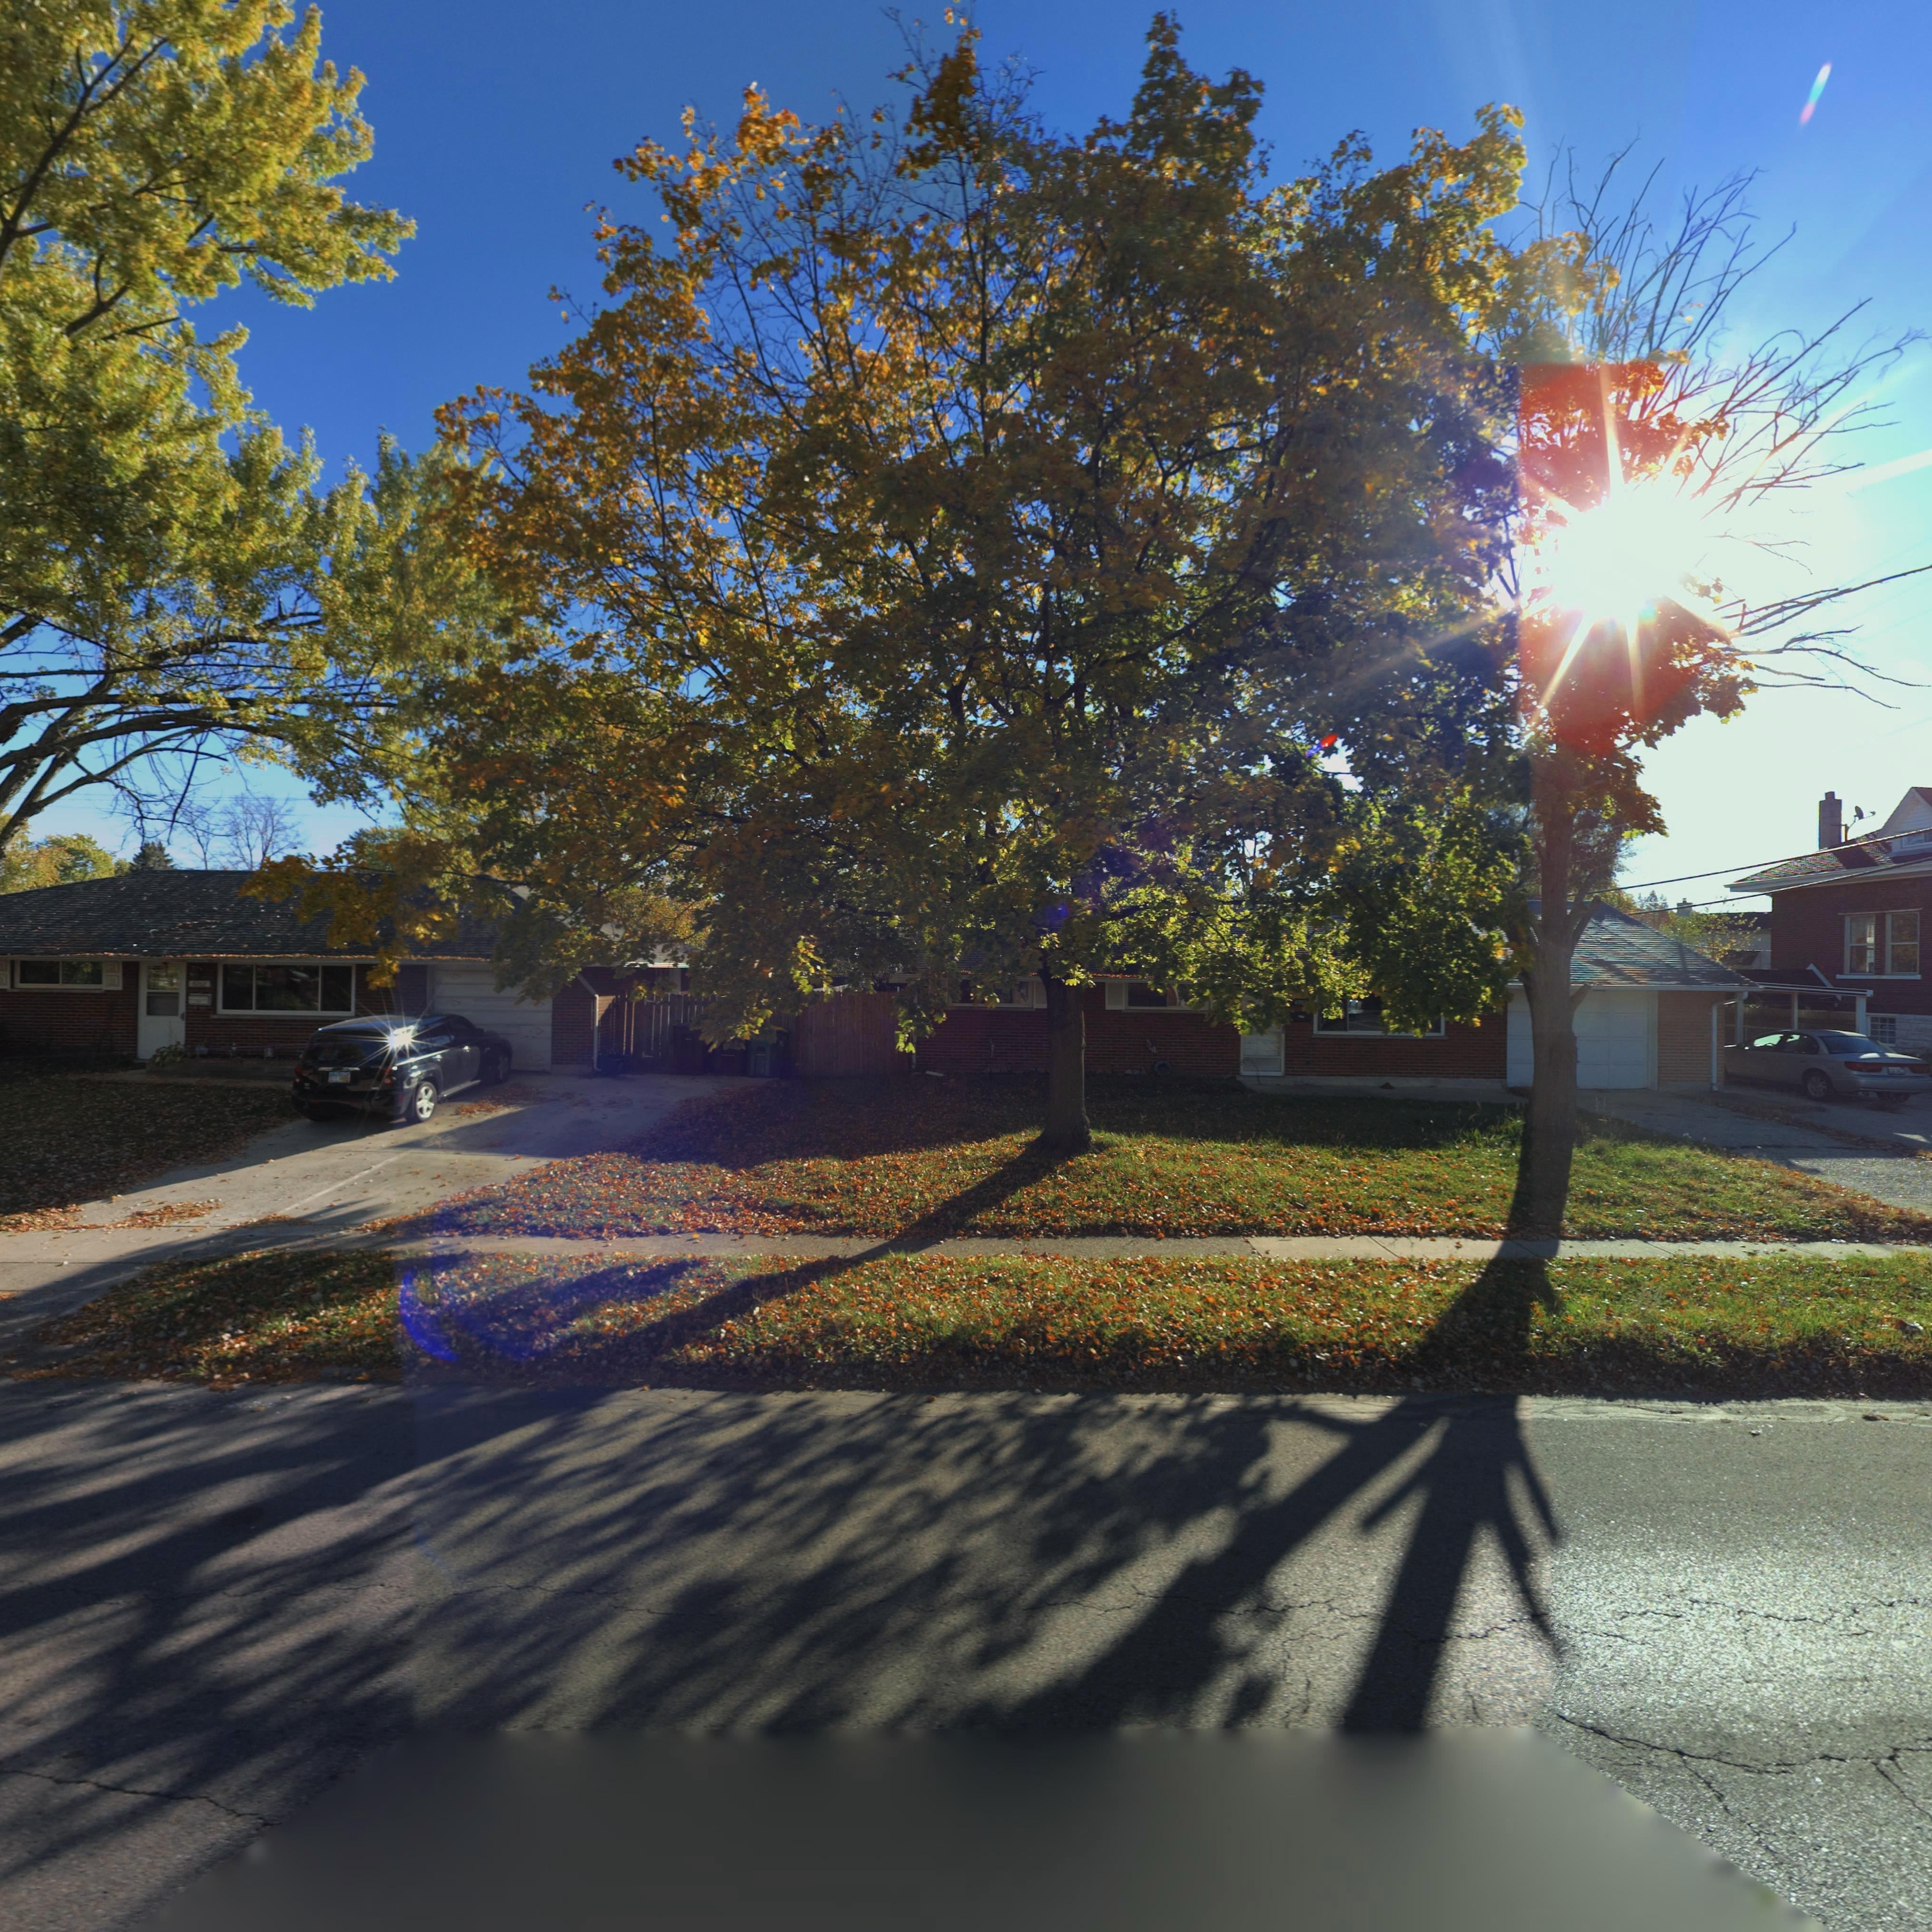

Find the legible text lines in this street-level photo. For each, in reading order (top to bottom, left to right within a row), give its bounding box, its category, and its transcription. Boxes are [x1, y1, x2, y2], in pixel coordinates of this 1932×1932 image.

[191, 980, 207, 987] StreetNumber: 4968